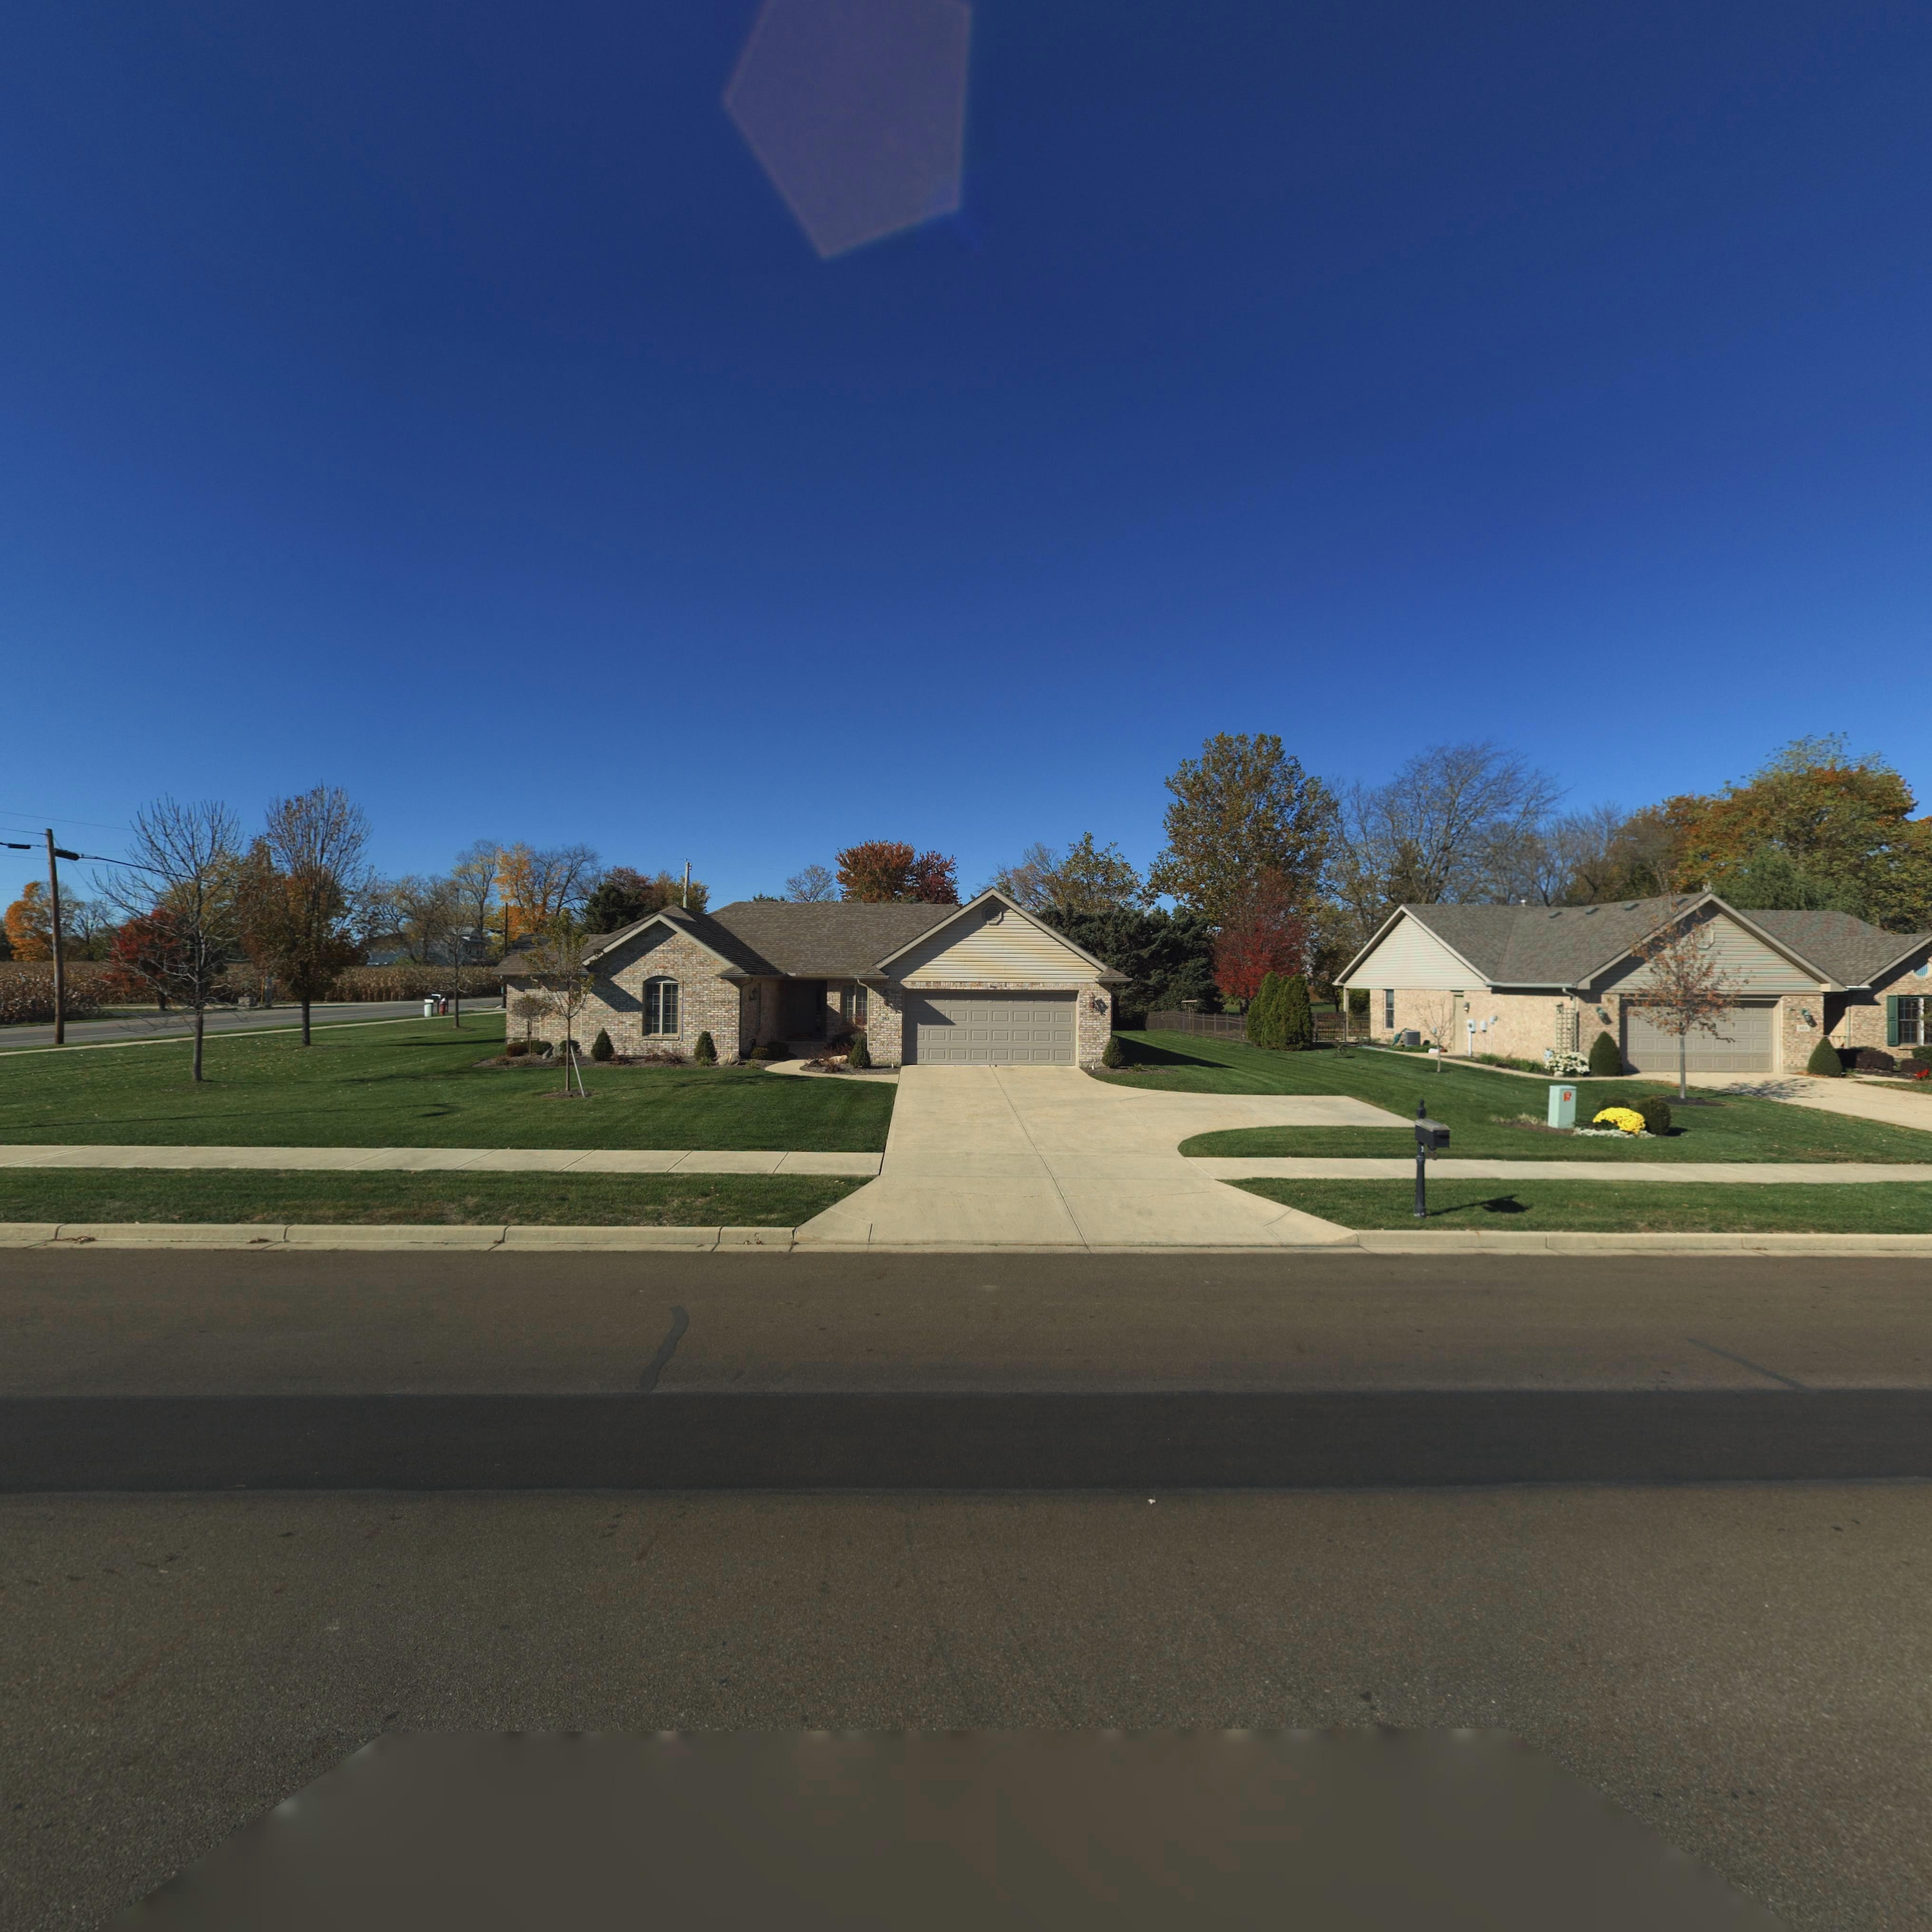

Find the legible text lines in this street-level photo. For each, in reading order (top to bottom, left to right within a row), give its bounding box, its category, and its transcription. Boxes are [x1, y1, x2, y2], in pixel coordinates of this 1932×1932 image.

[881, 1016, 890, 1021] StreetNumber: 36*